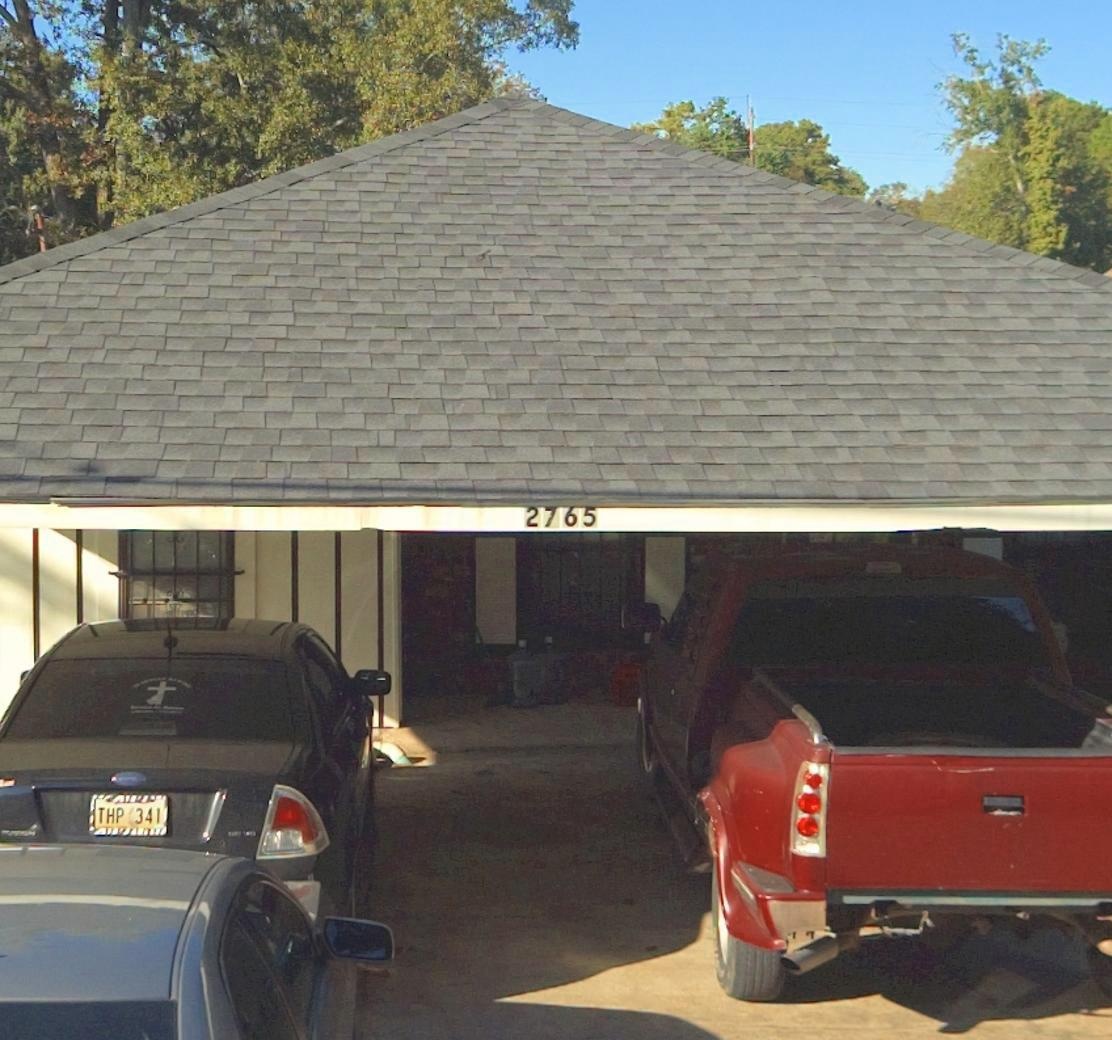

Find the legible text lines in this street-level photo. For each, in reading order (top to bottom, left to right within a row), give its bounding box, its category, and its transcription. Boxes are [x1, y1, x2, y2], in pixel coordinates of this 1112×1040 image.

[524, 504, 598, 529] StreetNumber: 2765
[95, 805, 163, 827] None: THP 341